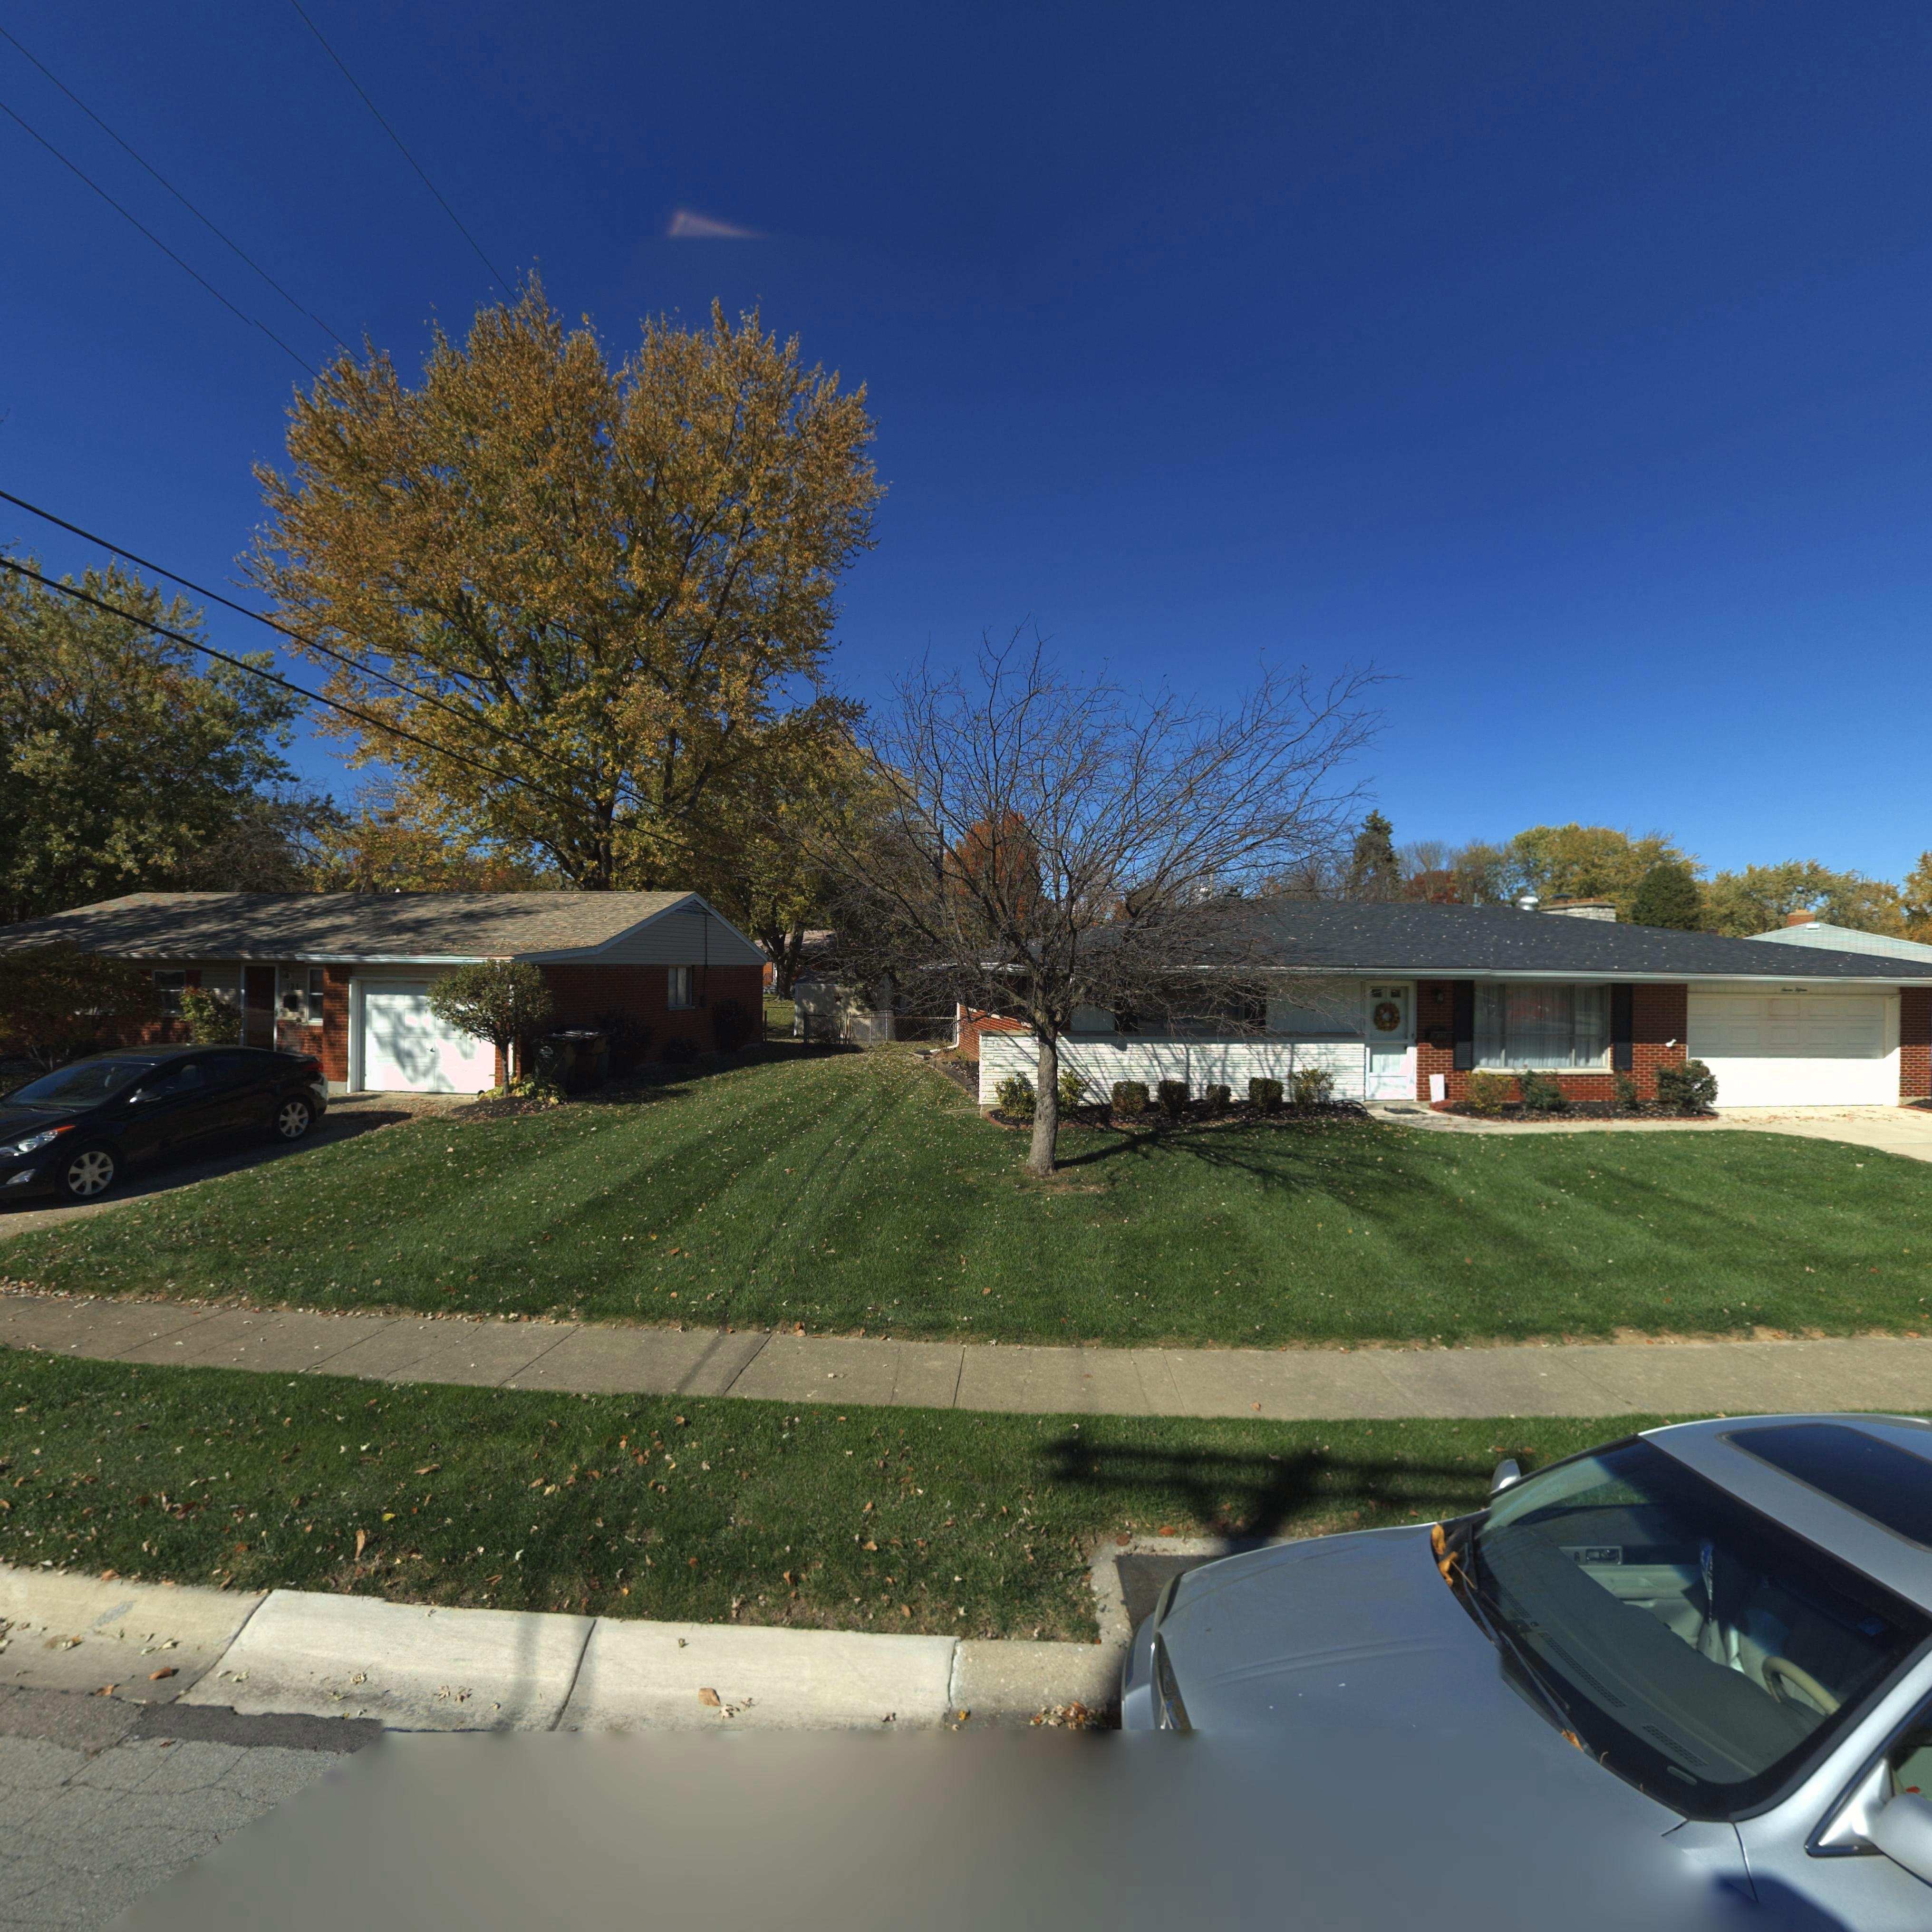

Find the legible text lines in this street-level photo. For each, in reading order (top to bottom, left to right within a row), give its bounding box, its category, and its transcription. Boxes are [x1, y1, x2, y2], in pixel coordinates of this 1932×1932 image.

[285, 983, 299, 990] StreetNumber: 721